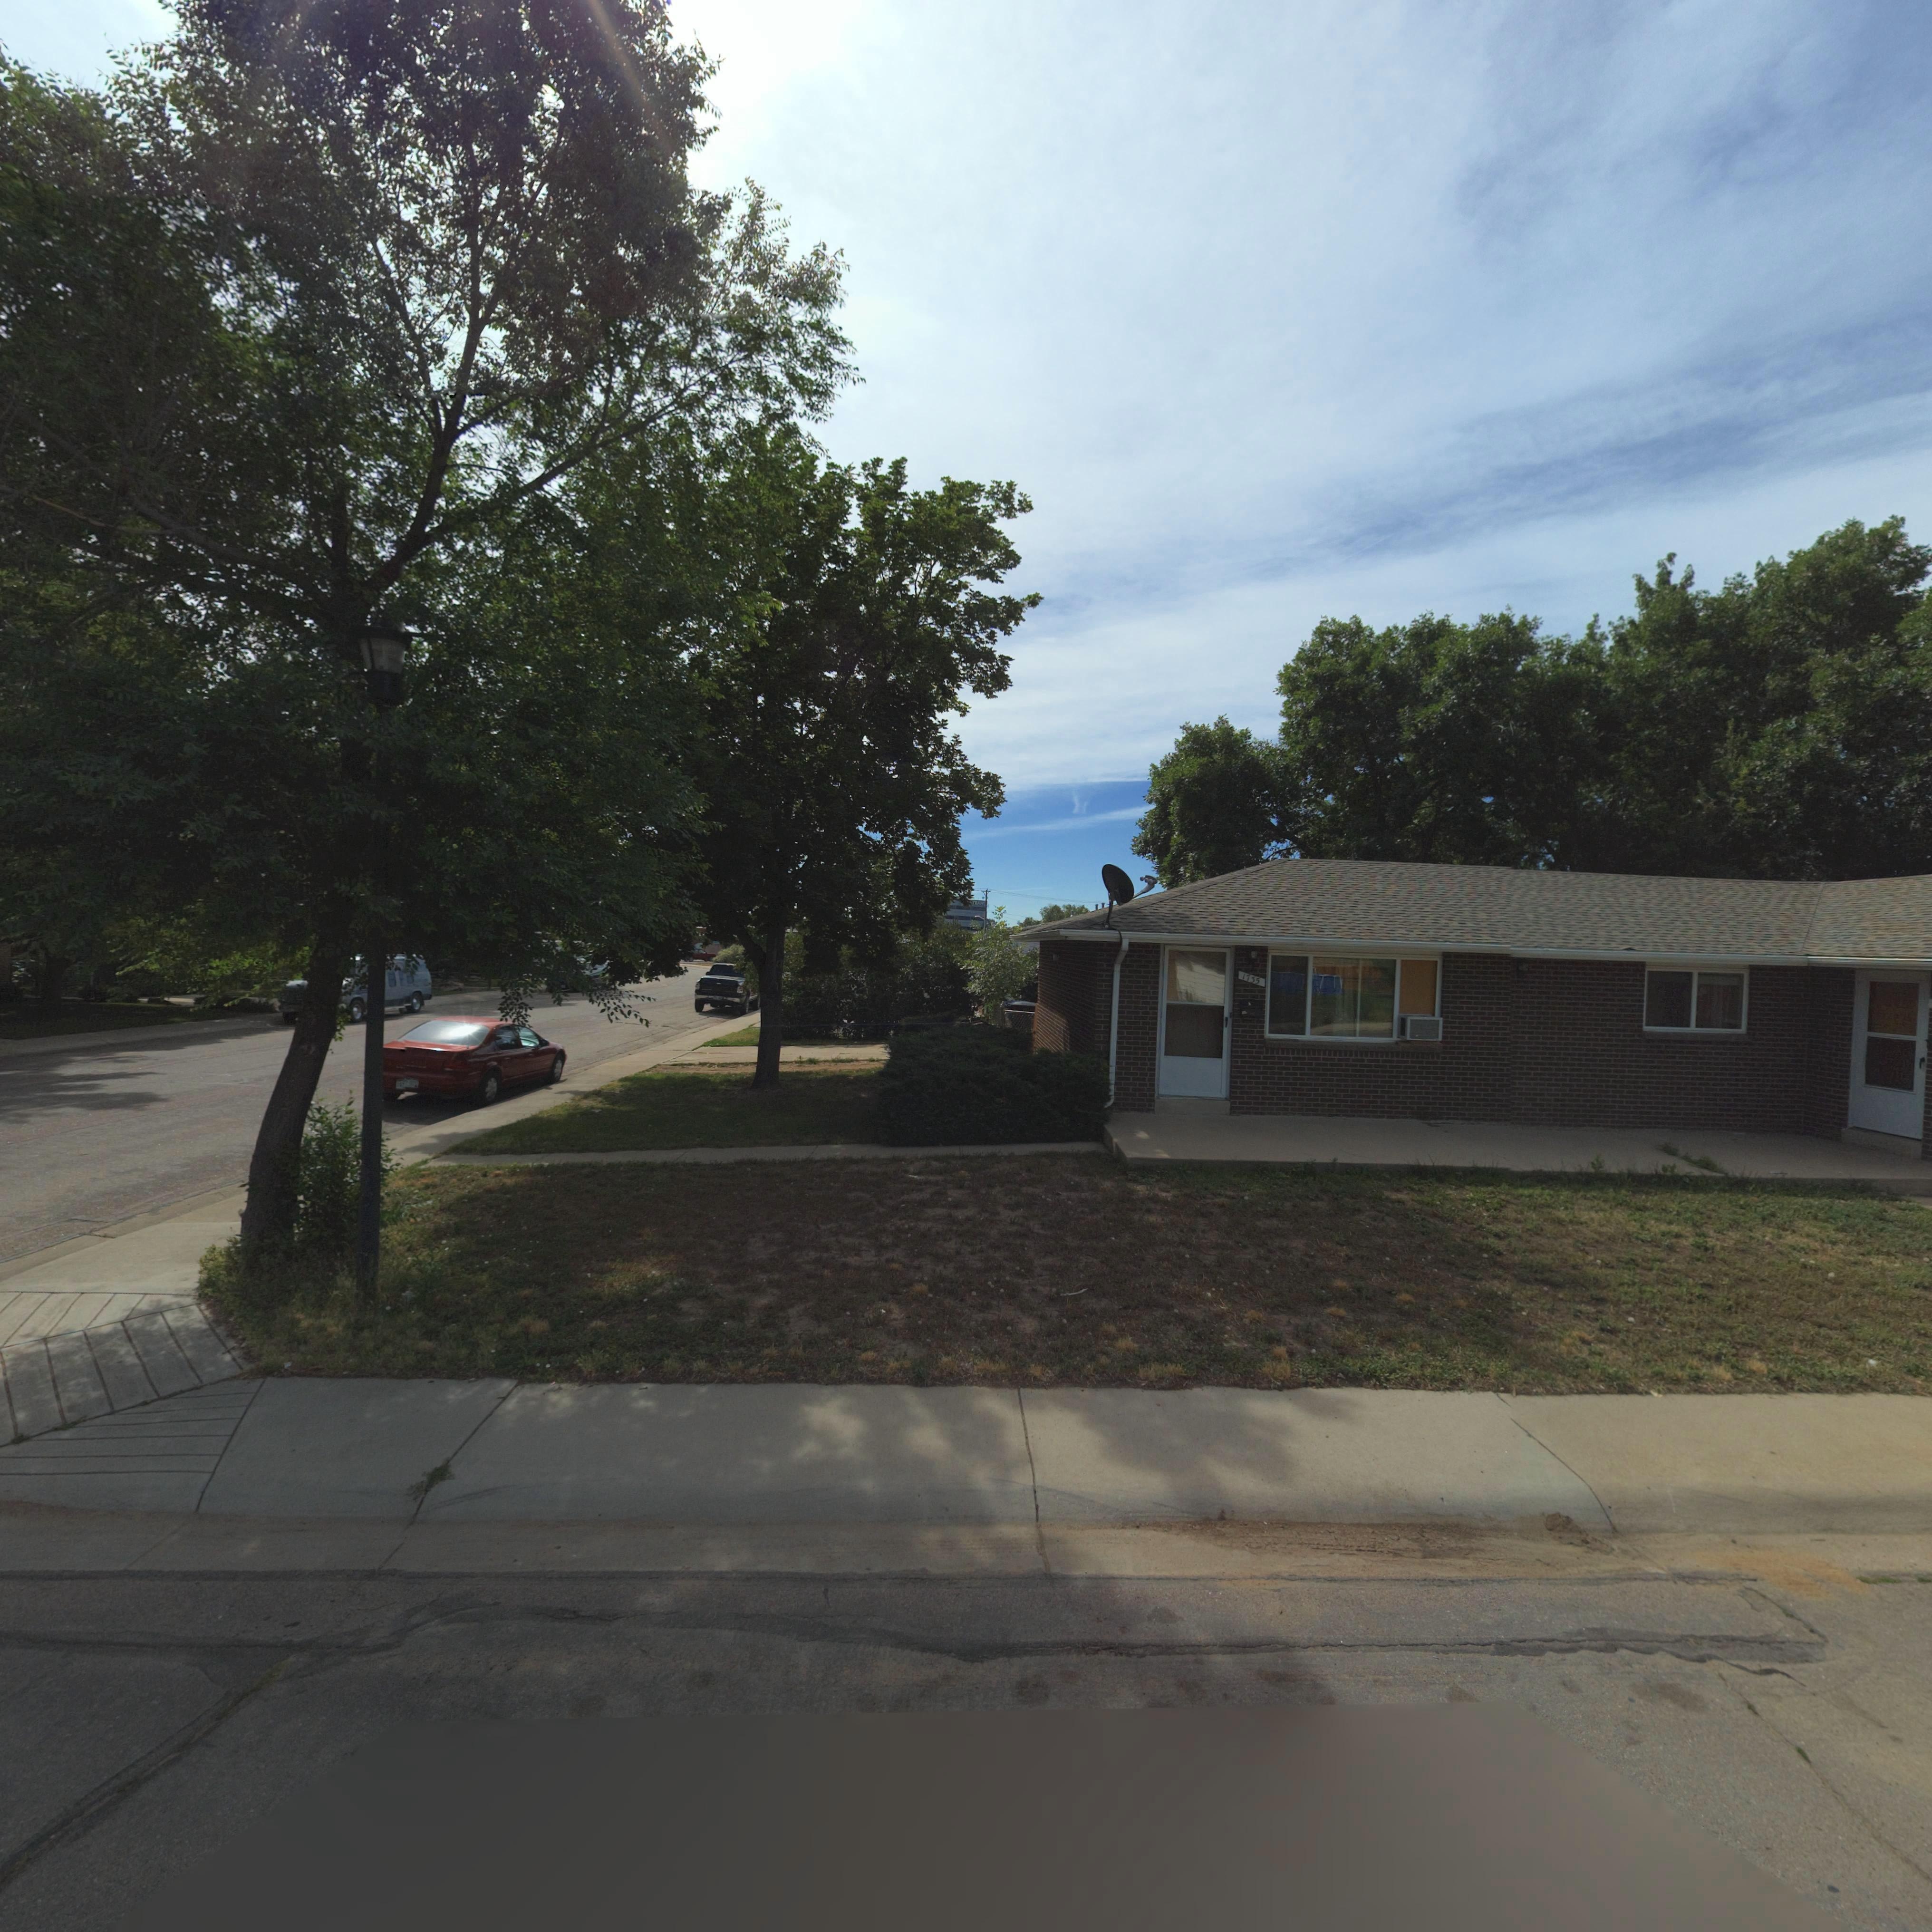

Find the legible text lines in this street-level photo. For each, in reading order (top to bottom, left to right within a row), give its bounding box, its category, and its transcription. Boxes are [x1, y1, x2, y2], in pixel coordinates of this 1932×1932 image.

[972, 900, 985, 905] BusinessName: TBANK
[1242, 972, 1260, 984] StreetNumber: 1735